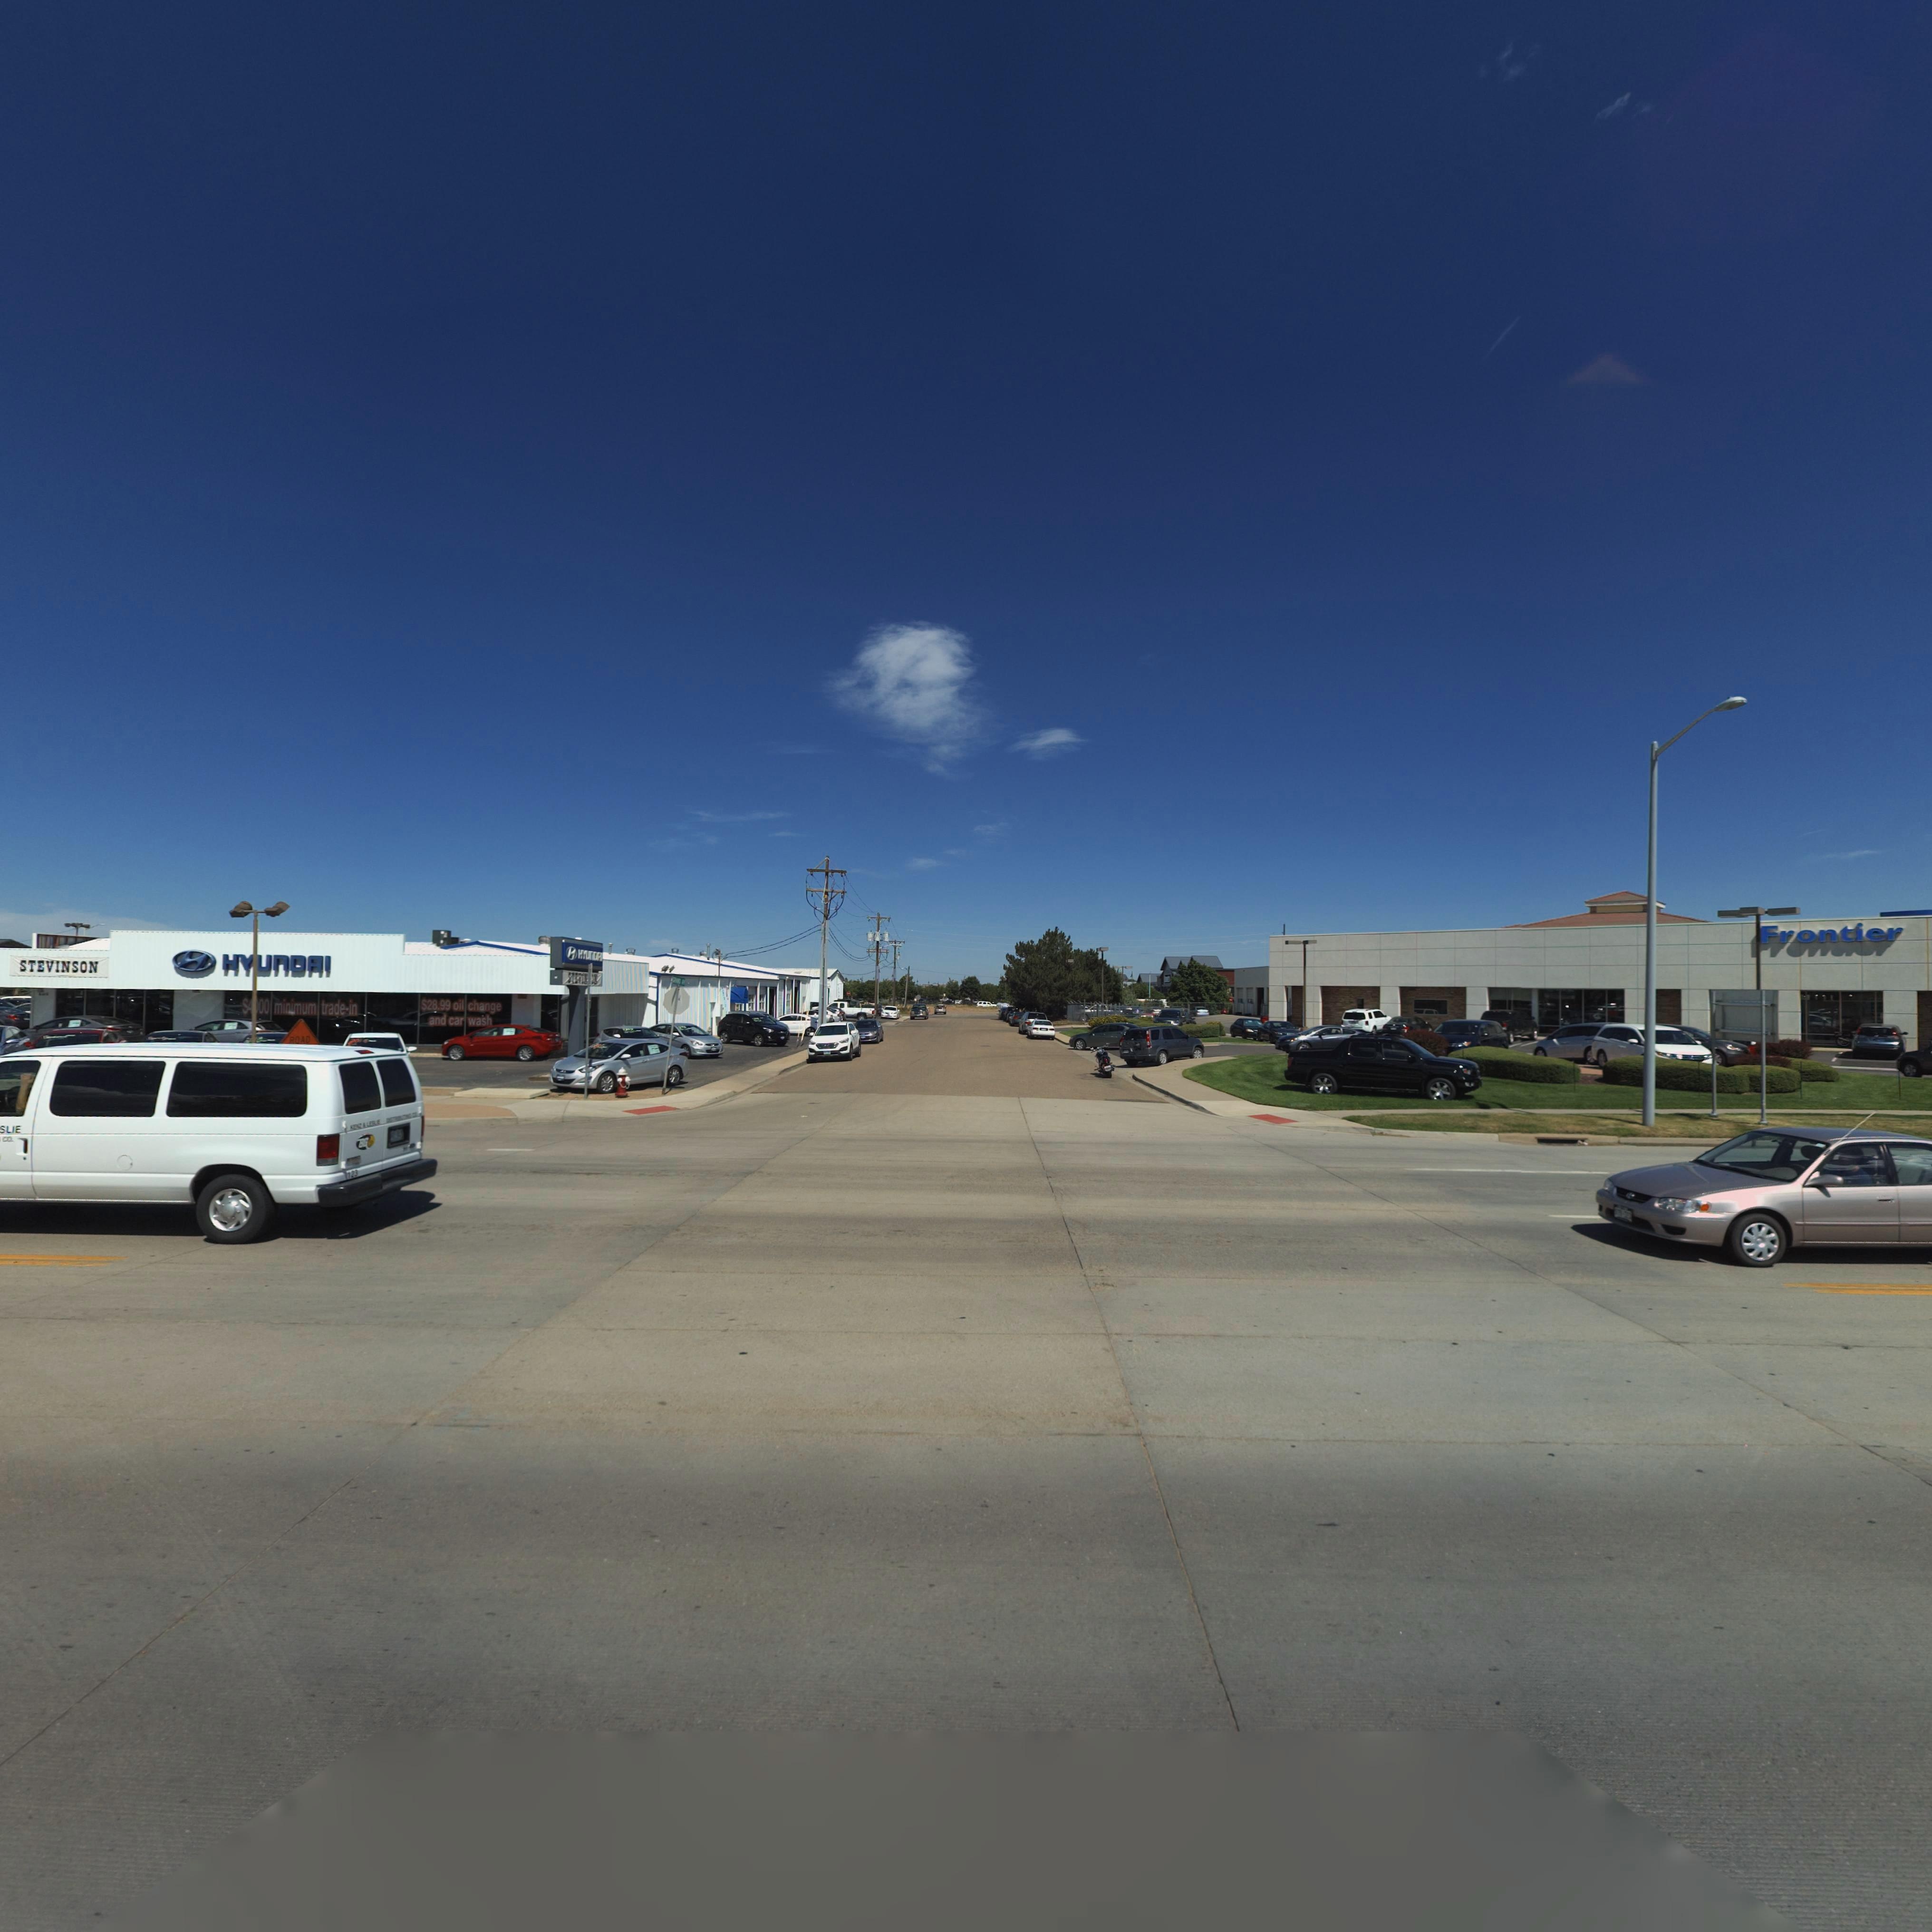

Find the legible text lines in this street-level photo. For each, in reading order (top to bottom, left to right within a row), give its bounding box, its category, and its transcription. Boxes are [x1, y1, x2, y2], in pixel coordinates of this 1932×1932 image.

[1760, 922, 1903, 944] BusinessName: Frontier
[578, 949, 602, 961] BusinessName: HYUnDAI
[19, 960, 98, 973] StreetNumber: STEVINSON
[222, 953, 331, 972] BusinessName: HYUnDAI
[568, 971, 598, 985] BusinessName: STEVIN**N